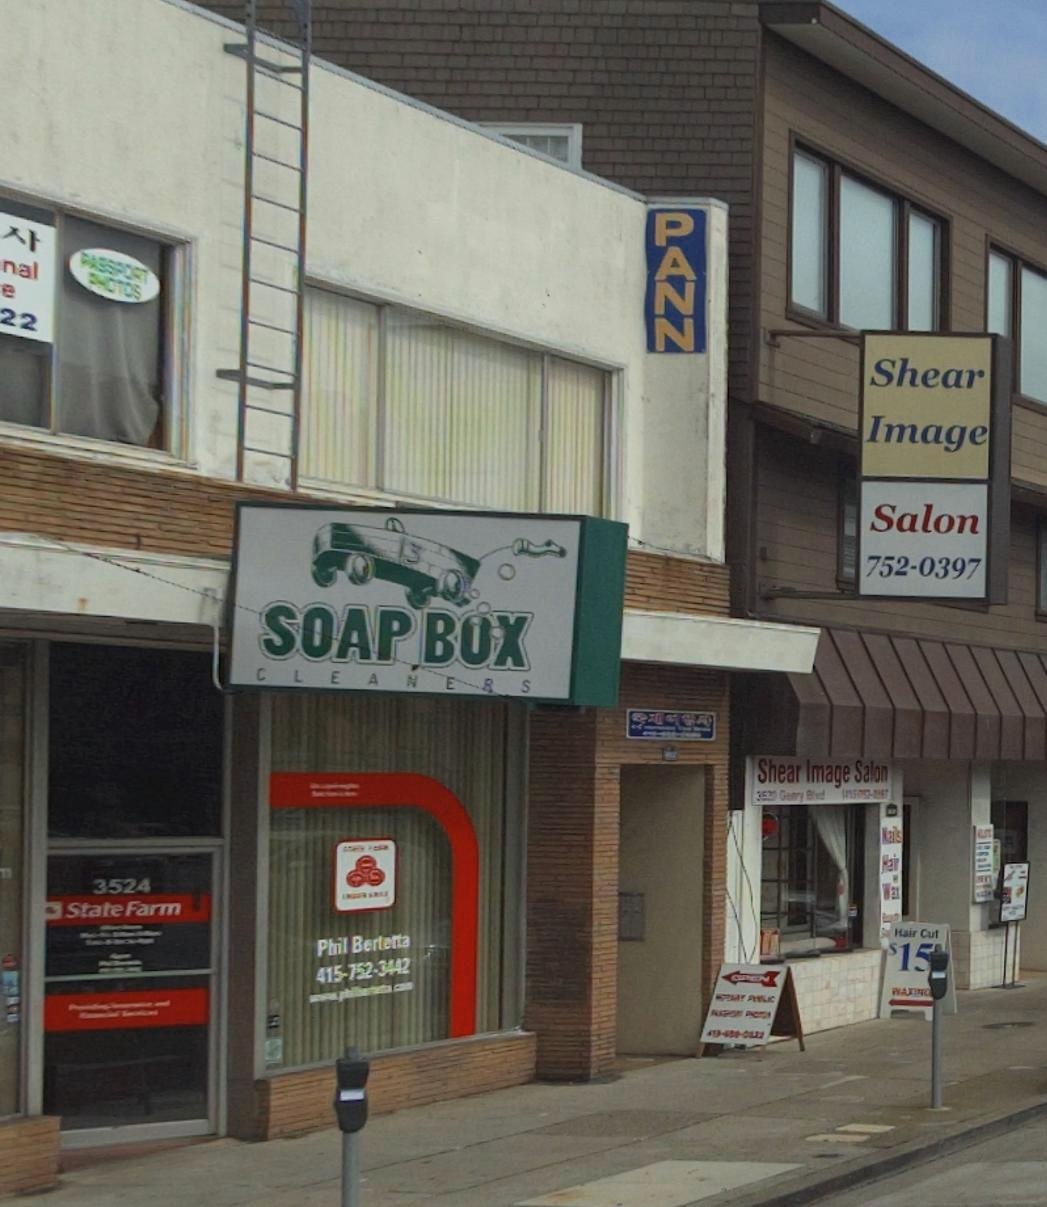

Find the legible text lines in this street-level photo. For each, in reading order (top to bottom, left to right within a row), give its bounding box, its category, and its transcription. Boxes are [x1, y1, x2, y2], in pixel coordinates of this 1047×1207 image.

[0, 281, 16, 303] None: e
[1, 257, 40, 286] None: nal
[75, 248, 153, 291] None: PASSPORT
[83, 268, 146, 307] None: PHOTOS
[652, 209, 698, 355] None: PANN
[0, 305, 41, 335] None: 22
[866, 352, 990, 393] BusinessName: Shear
[861, 412, 992, 456] BusinessName: Image
[867, 501, 985, 537] BusinessName: Salon
[863, 551, 988, 584] None: 752-0397
[257, 601, 534, 672] BusinessName: SOAP BOX
[254, 665, 535, 699] None: CLEANERS
[756, 756, 890, 790] BusinessName: Shear Image Salon
[777, 786, 828, 805] StreetName: Geary Blvd.
[879, 822, 905, 846] None: Nails
[879, 850, 901, 875] None: Hair
[89, 875, 152, 897] StreetNumber: 3524
[880, 879, 902, 903] None: Wax
[62, 898, 183, 922] BusinessName: State Farm
[311, 955, 412, 987] None: 415-752-3442
[313, 928, 412, 960] None: Phil Berletta
[895, 940, 917, 974] None: 1
[893, 925, 940, 943] None: Hair Cut
[889, 985, 936, 1002] None: WAXIN*